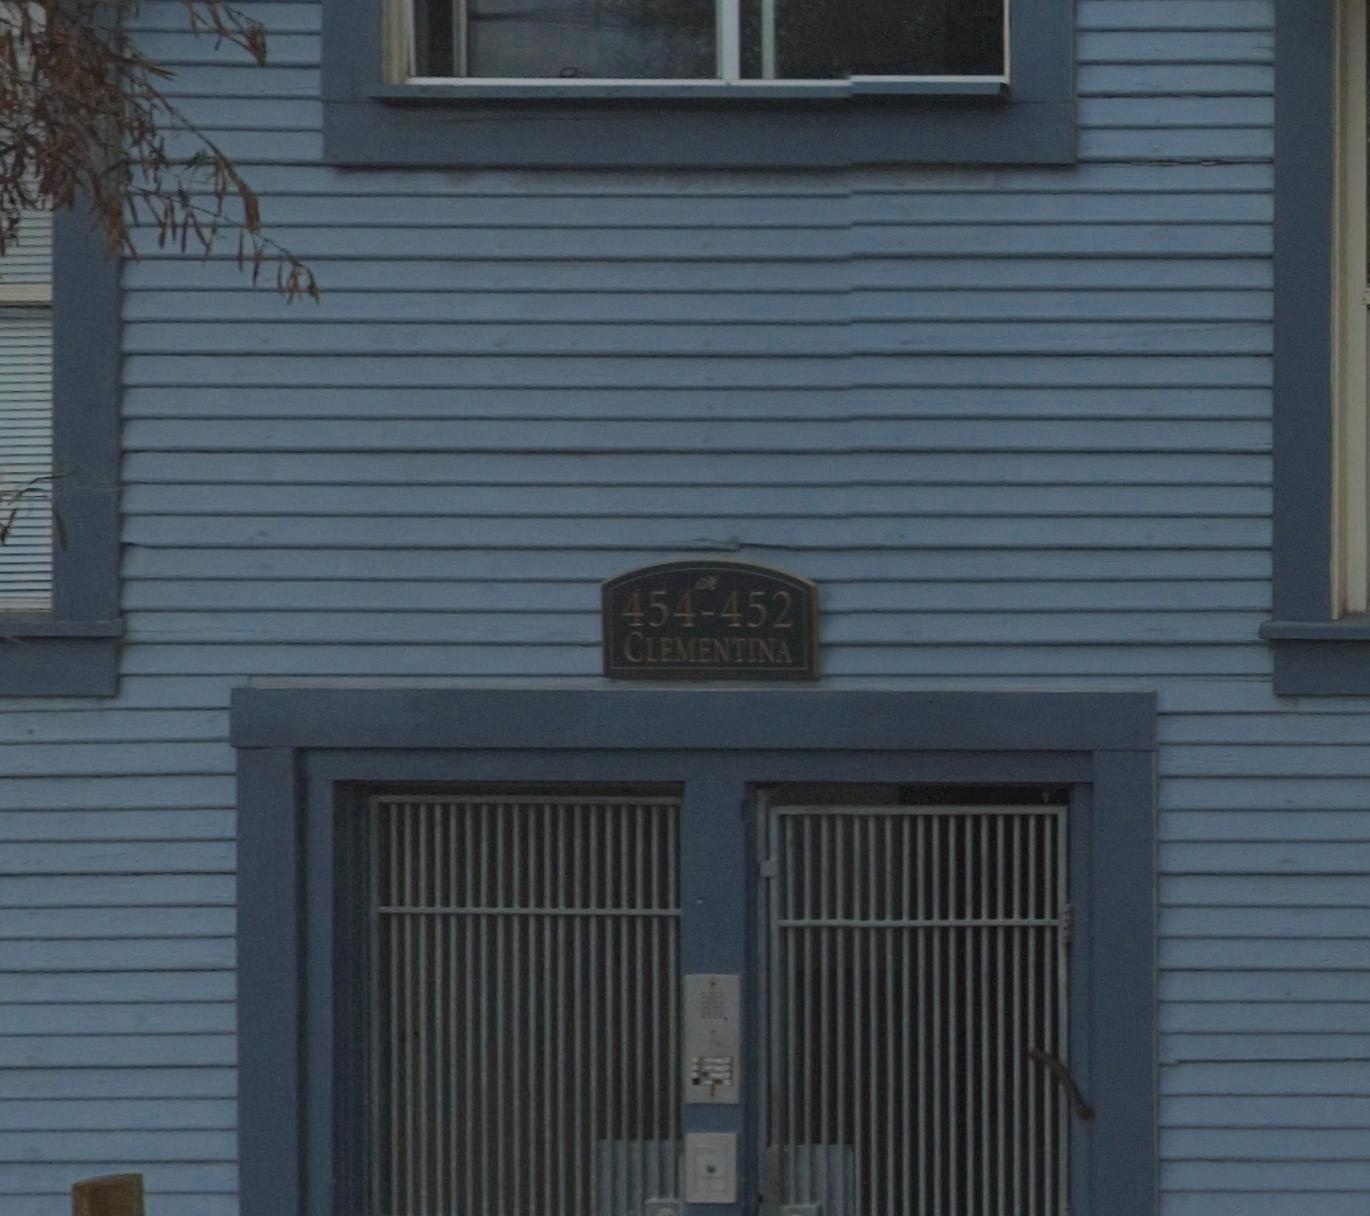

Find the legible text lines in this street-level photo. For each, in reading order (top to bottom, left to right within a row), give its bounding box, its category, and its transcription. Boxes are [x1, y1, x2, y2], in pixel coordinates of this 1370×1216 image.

[618, 586, 699, 630] StreetNumber: 454
[717, 586, 797, 630] StreetNumber: 452
[620, 629, 797, 667] StreetName: CLEMENTINA